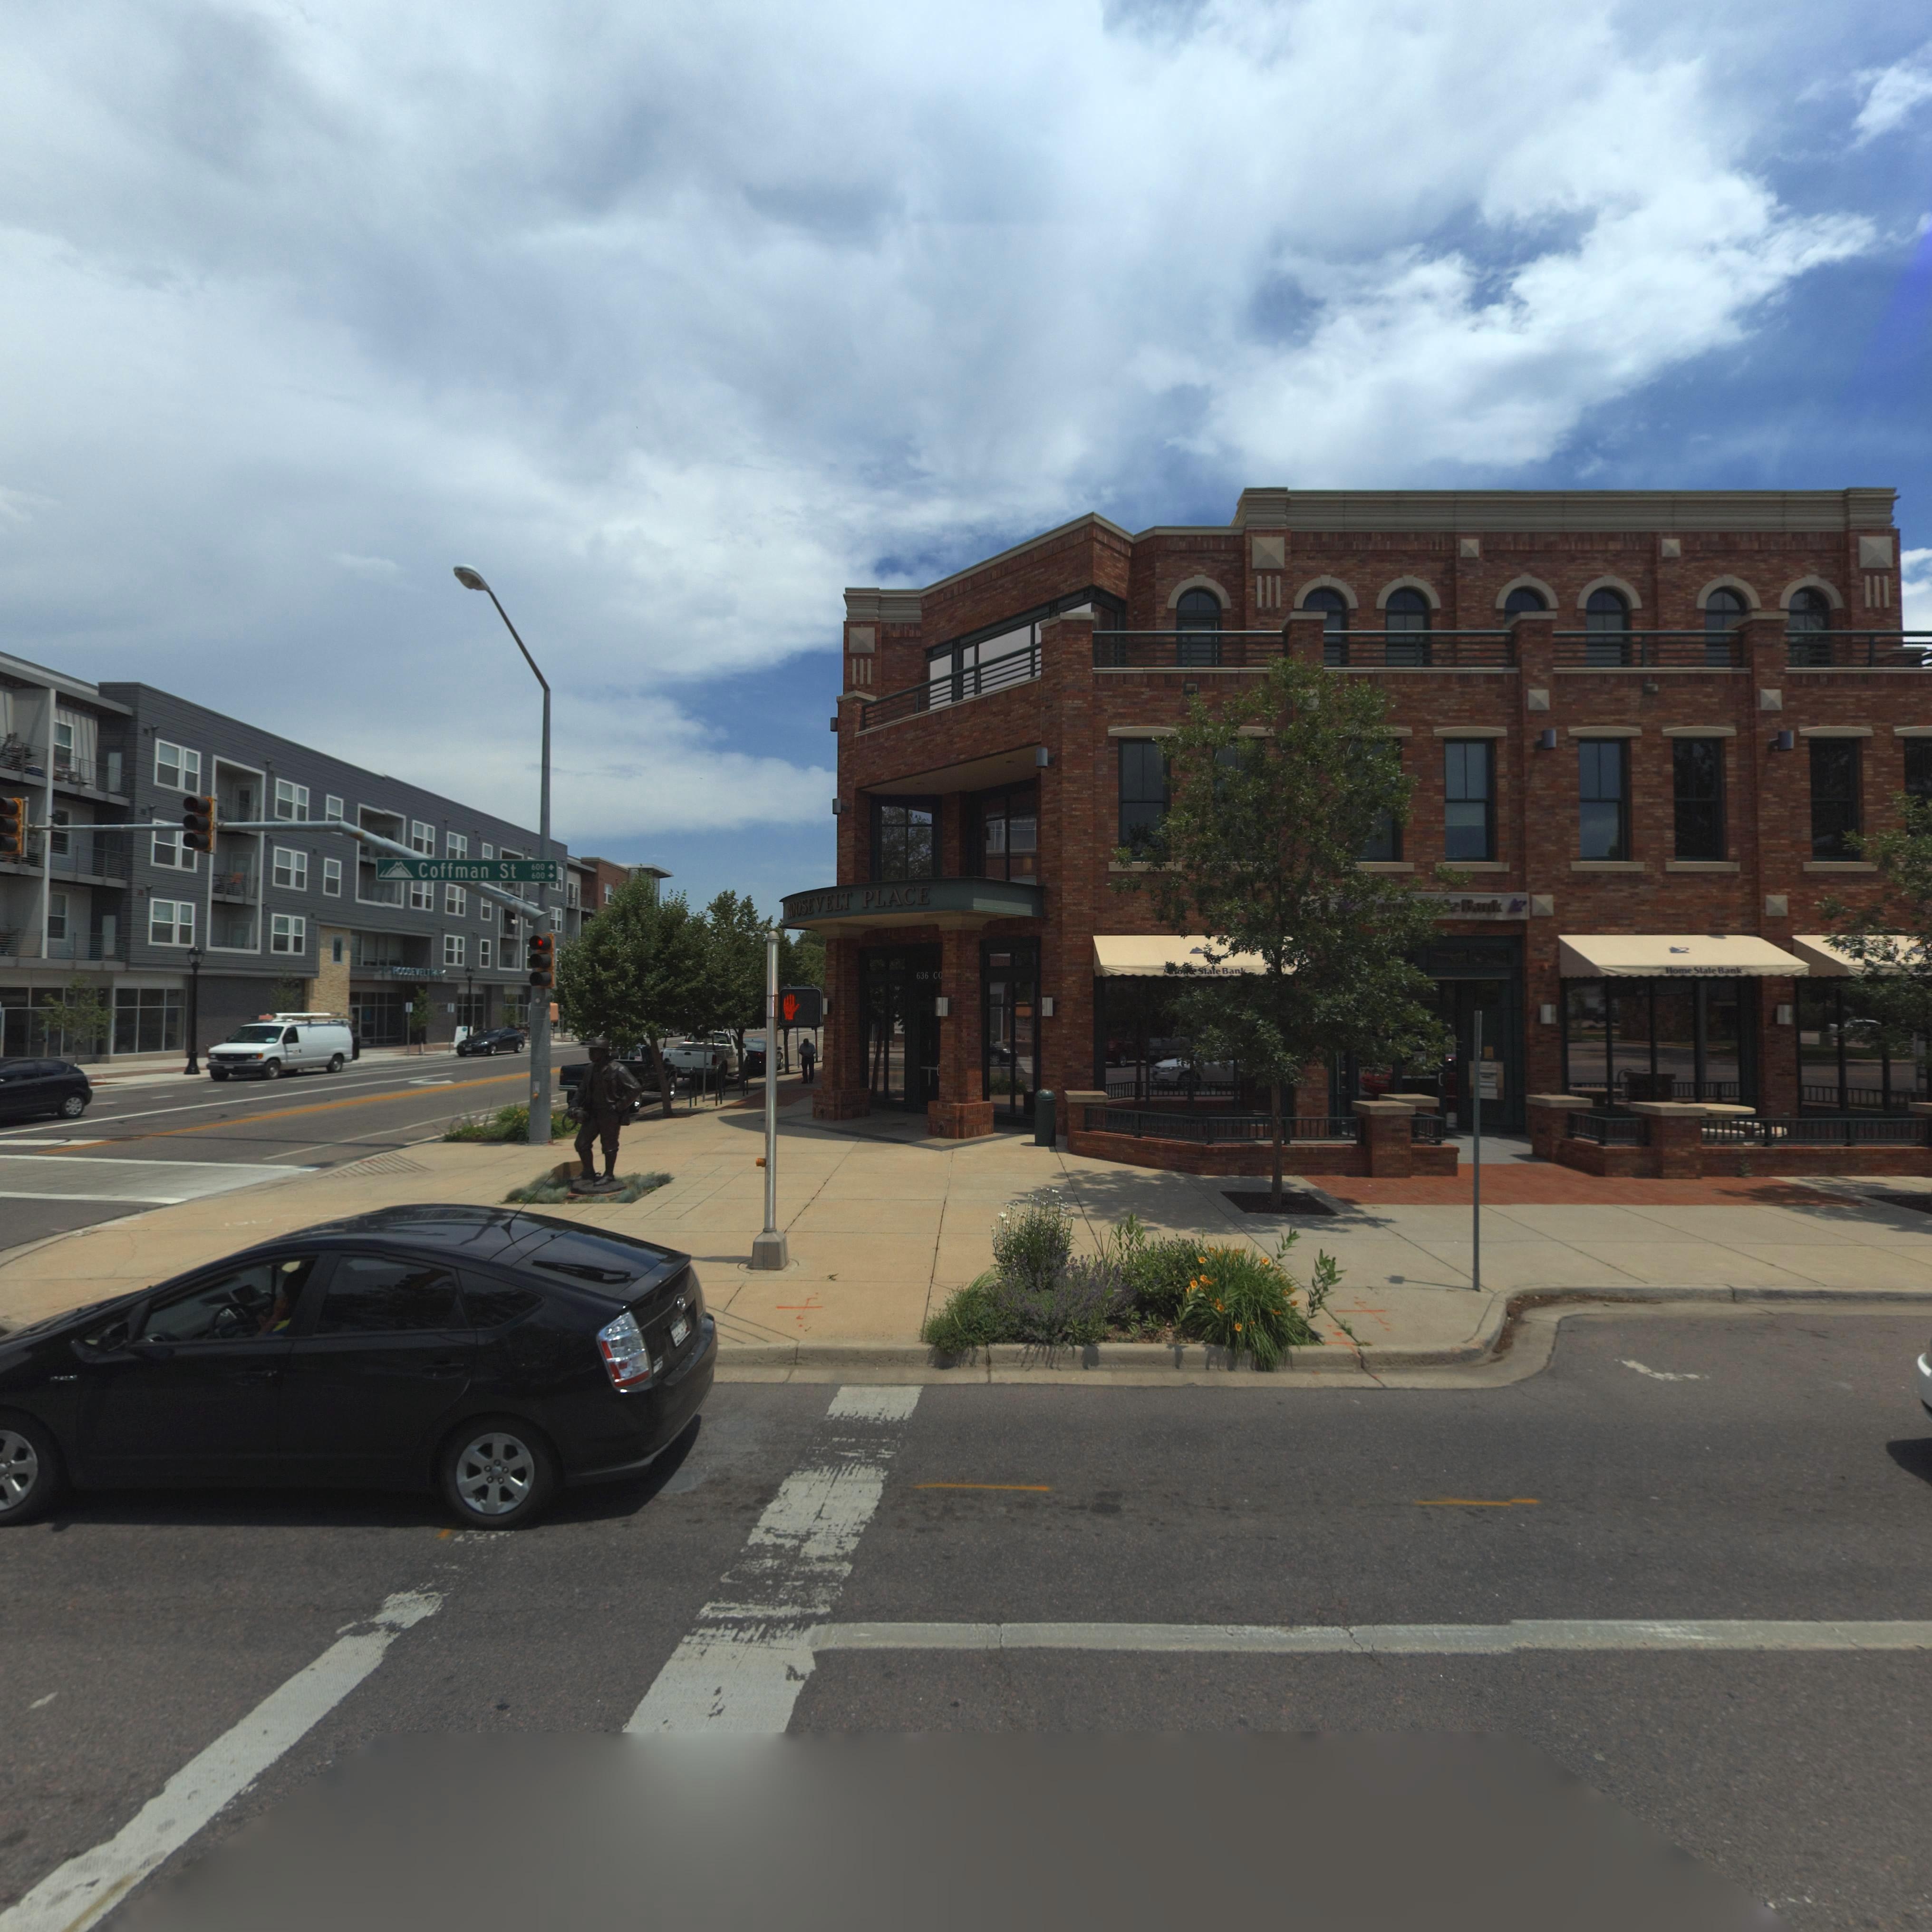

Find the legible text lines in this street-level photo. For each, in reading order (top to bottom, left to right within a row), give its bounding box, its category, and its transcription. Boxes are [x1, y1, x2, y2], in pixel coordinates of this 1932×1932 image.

[418, 861, 516, 879] StreetName: Coffman St
[531, 863, 545, 870] StreetNumberRange: 600
[531, 871, 555, 879] StreetNumberRange: 600 ->
[785, 885, 933, 918] BusinessName: ROOSEVELT PLACE
[1374, 898, 1504, 914] BusinessName: o******e Bank
[392, 966, 447, 976] BusinessName: ROOSEVELT P*RK
[916, 971, 929, 980] StreetNumber: 636
[933, 971, 943, 979] StreetName: CO
[1177, 967, 1246, 975] BusinessName: o** State Bank
[1664, 966, 1742, 975] BusinessName: Home State Bank